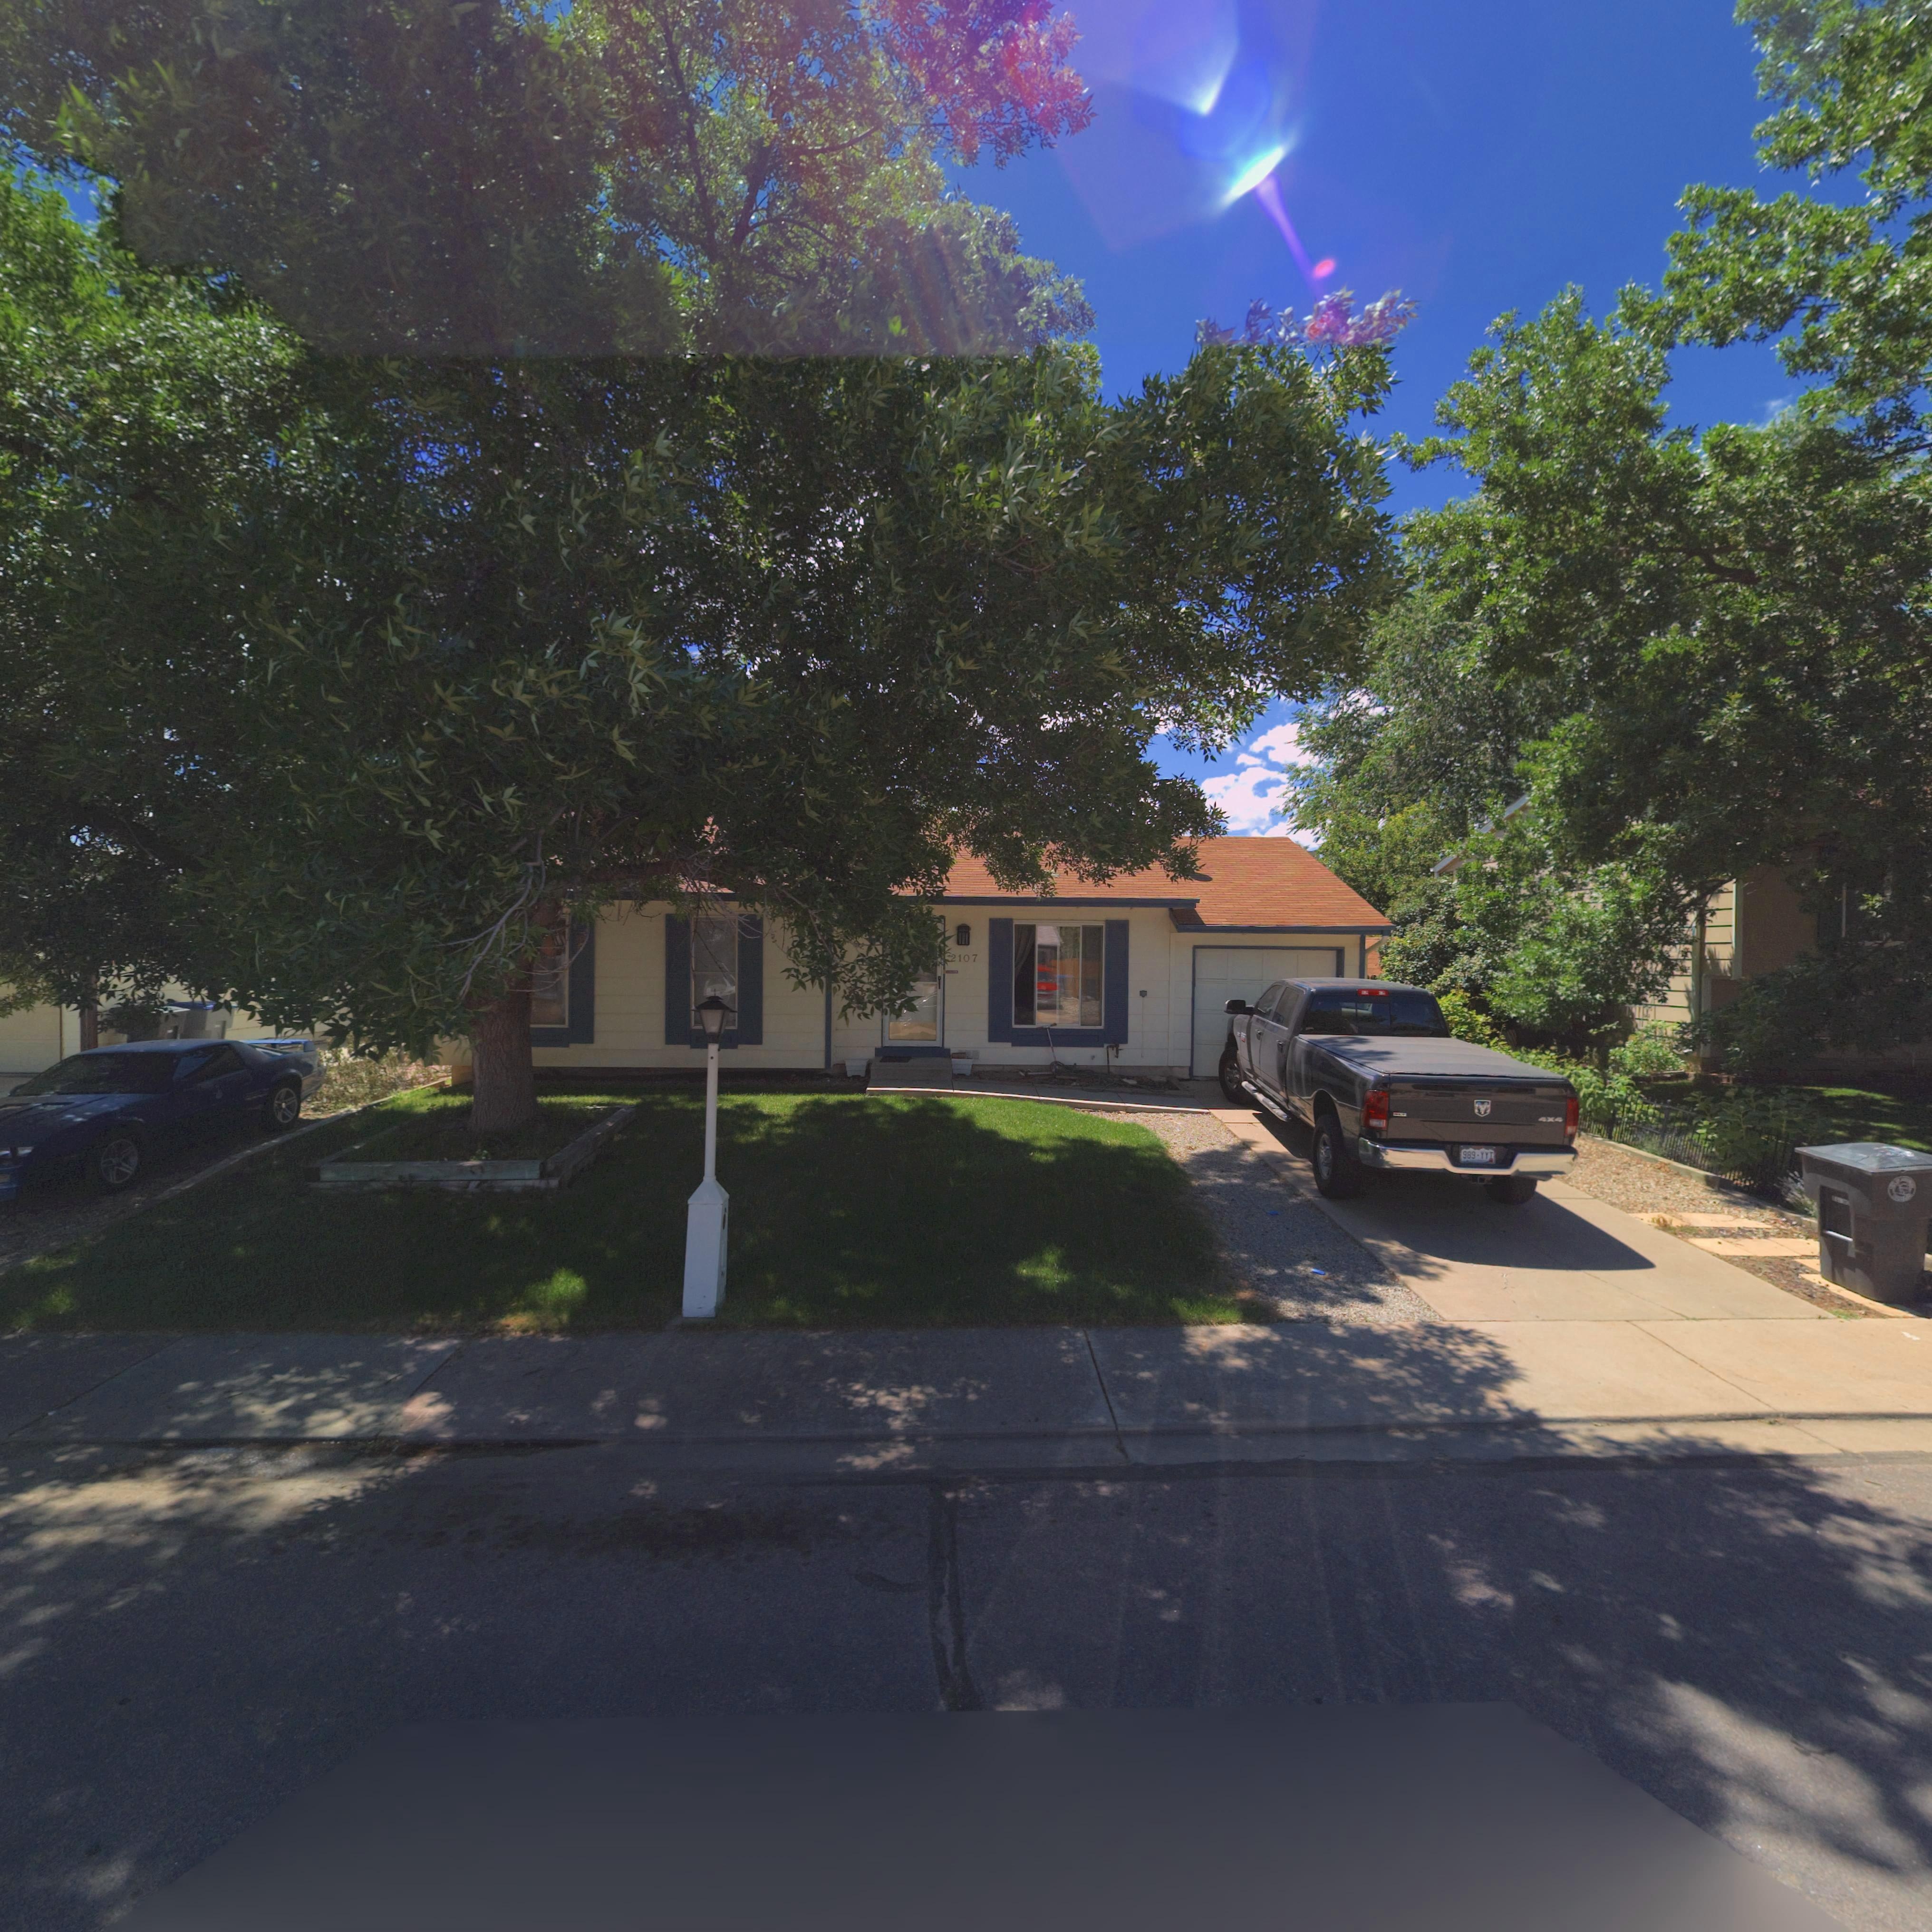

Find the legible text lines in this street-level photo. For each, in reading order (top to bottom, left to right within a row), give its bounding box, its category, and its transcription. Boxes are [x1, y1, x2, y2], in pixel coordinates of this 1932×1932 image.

[950, 954, 978, 962] StreetNumber: 2107